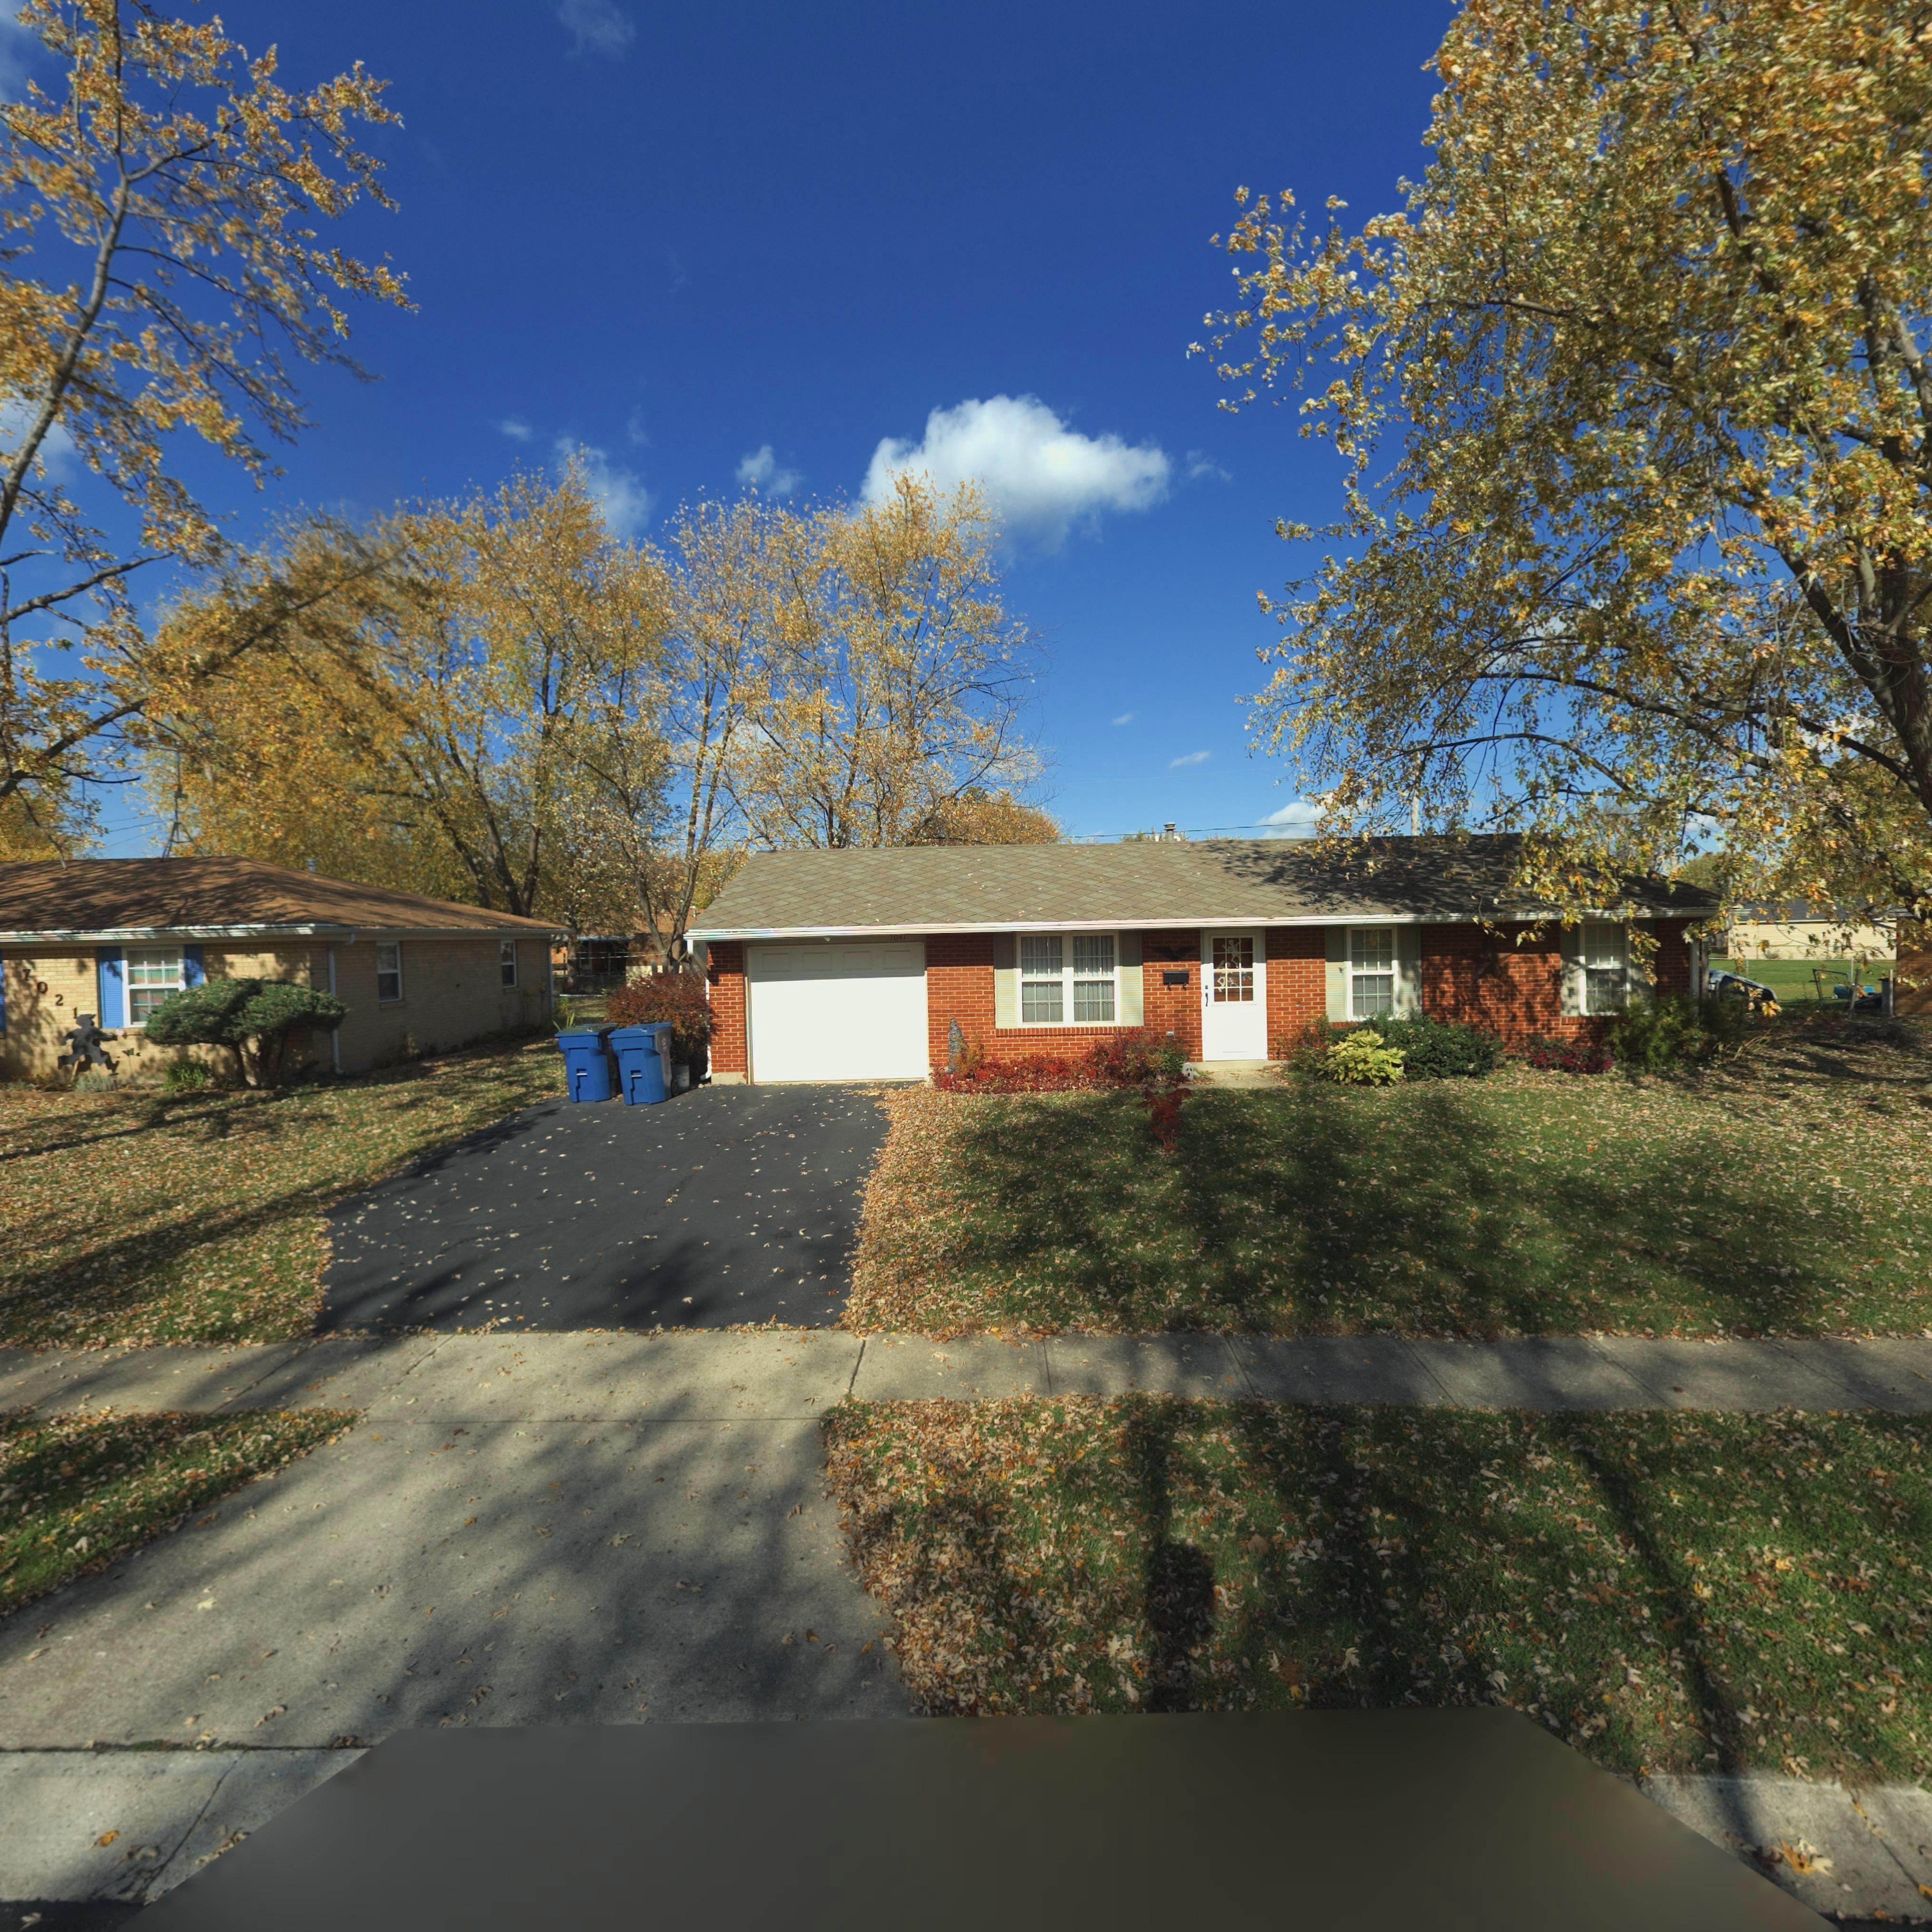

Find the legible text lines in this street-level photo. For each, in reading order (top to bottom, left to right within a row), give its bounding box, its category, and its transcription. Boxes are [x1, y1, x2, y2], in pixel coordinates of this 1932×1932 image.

[889, 933, 907, 942] StreetNumber: *0**
[21, 968, 79, 1021] StreetNumber: 7021